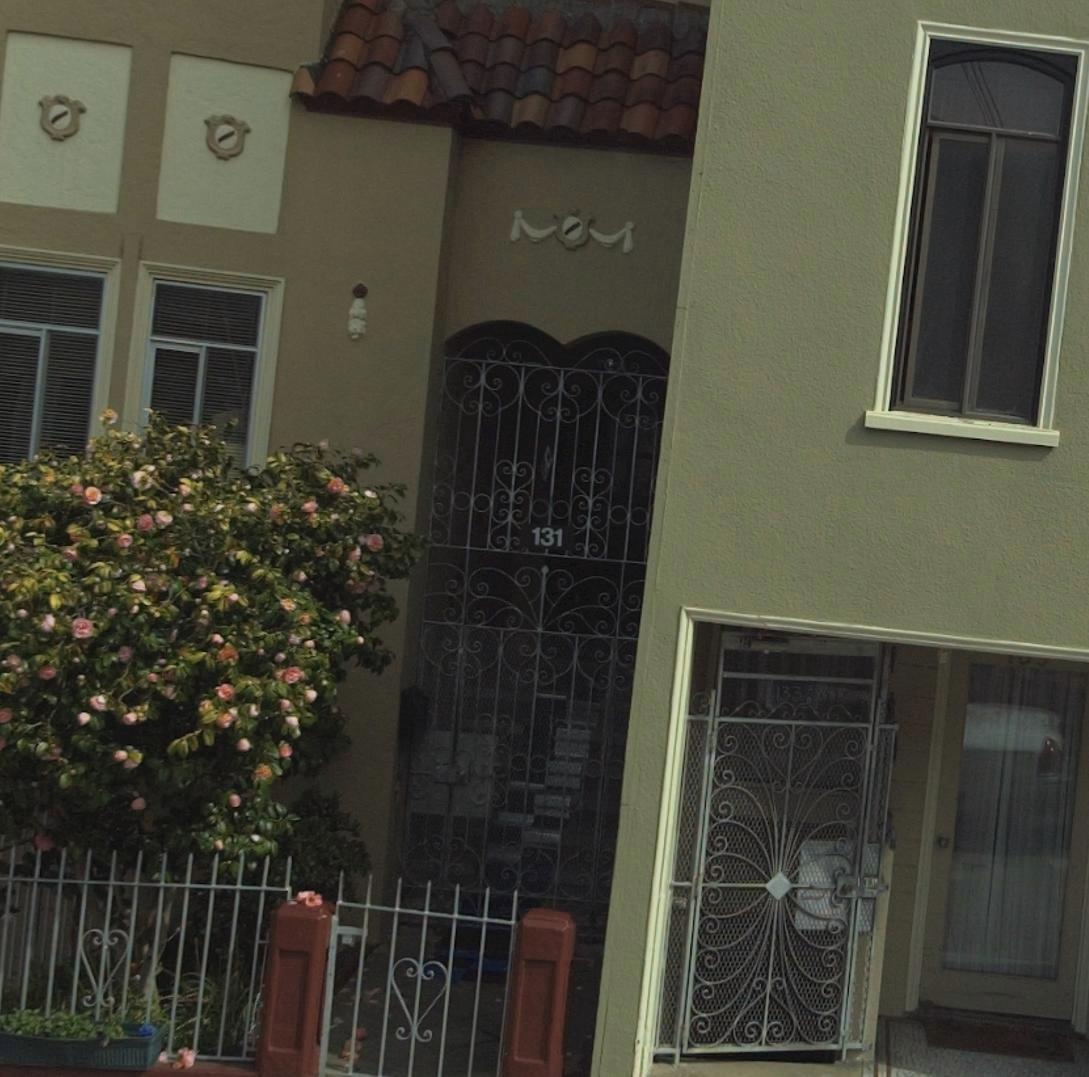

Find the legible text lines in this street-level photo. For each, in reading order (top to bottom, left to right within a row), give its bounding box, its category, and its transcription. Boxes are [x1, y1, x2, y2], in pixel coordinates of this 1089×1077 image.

[528, 526, 564, 547] StreetNumber: 131
[774, 684, 804, 703] StreetNumber: 133